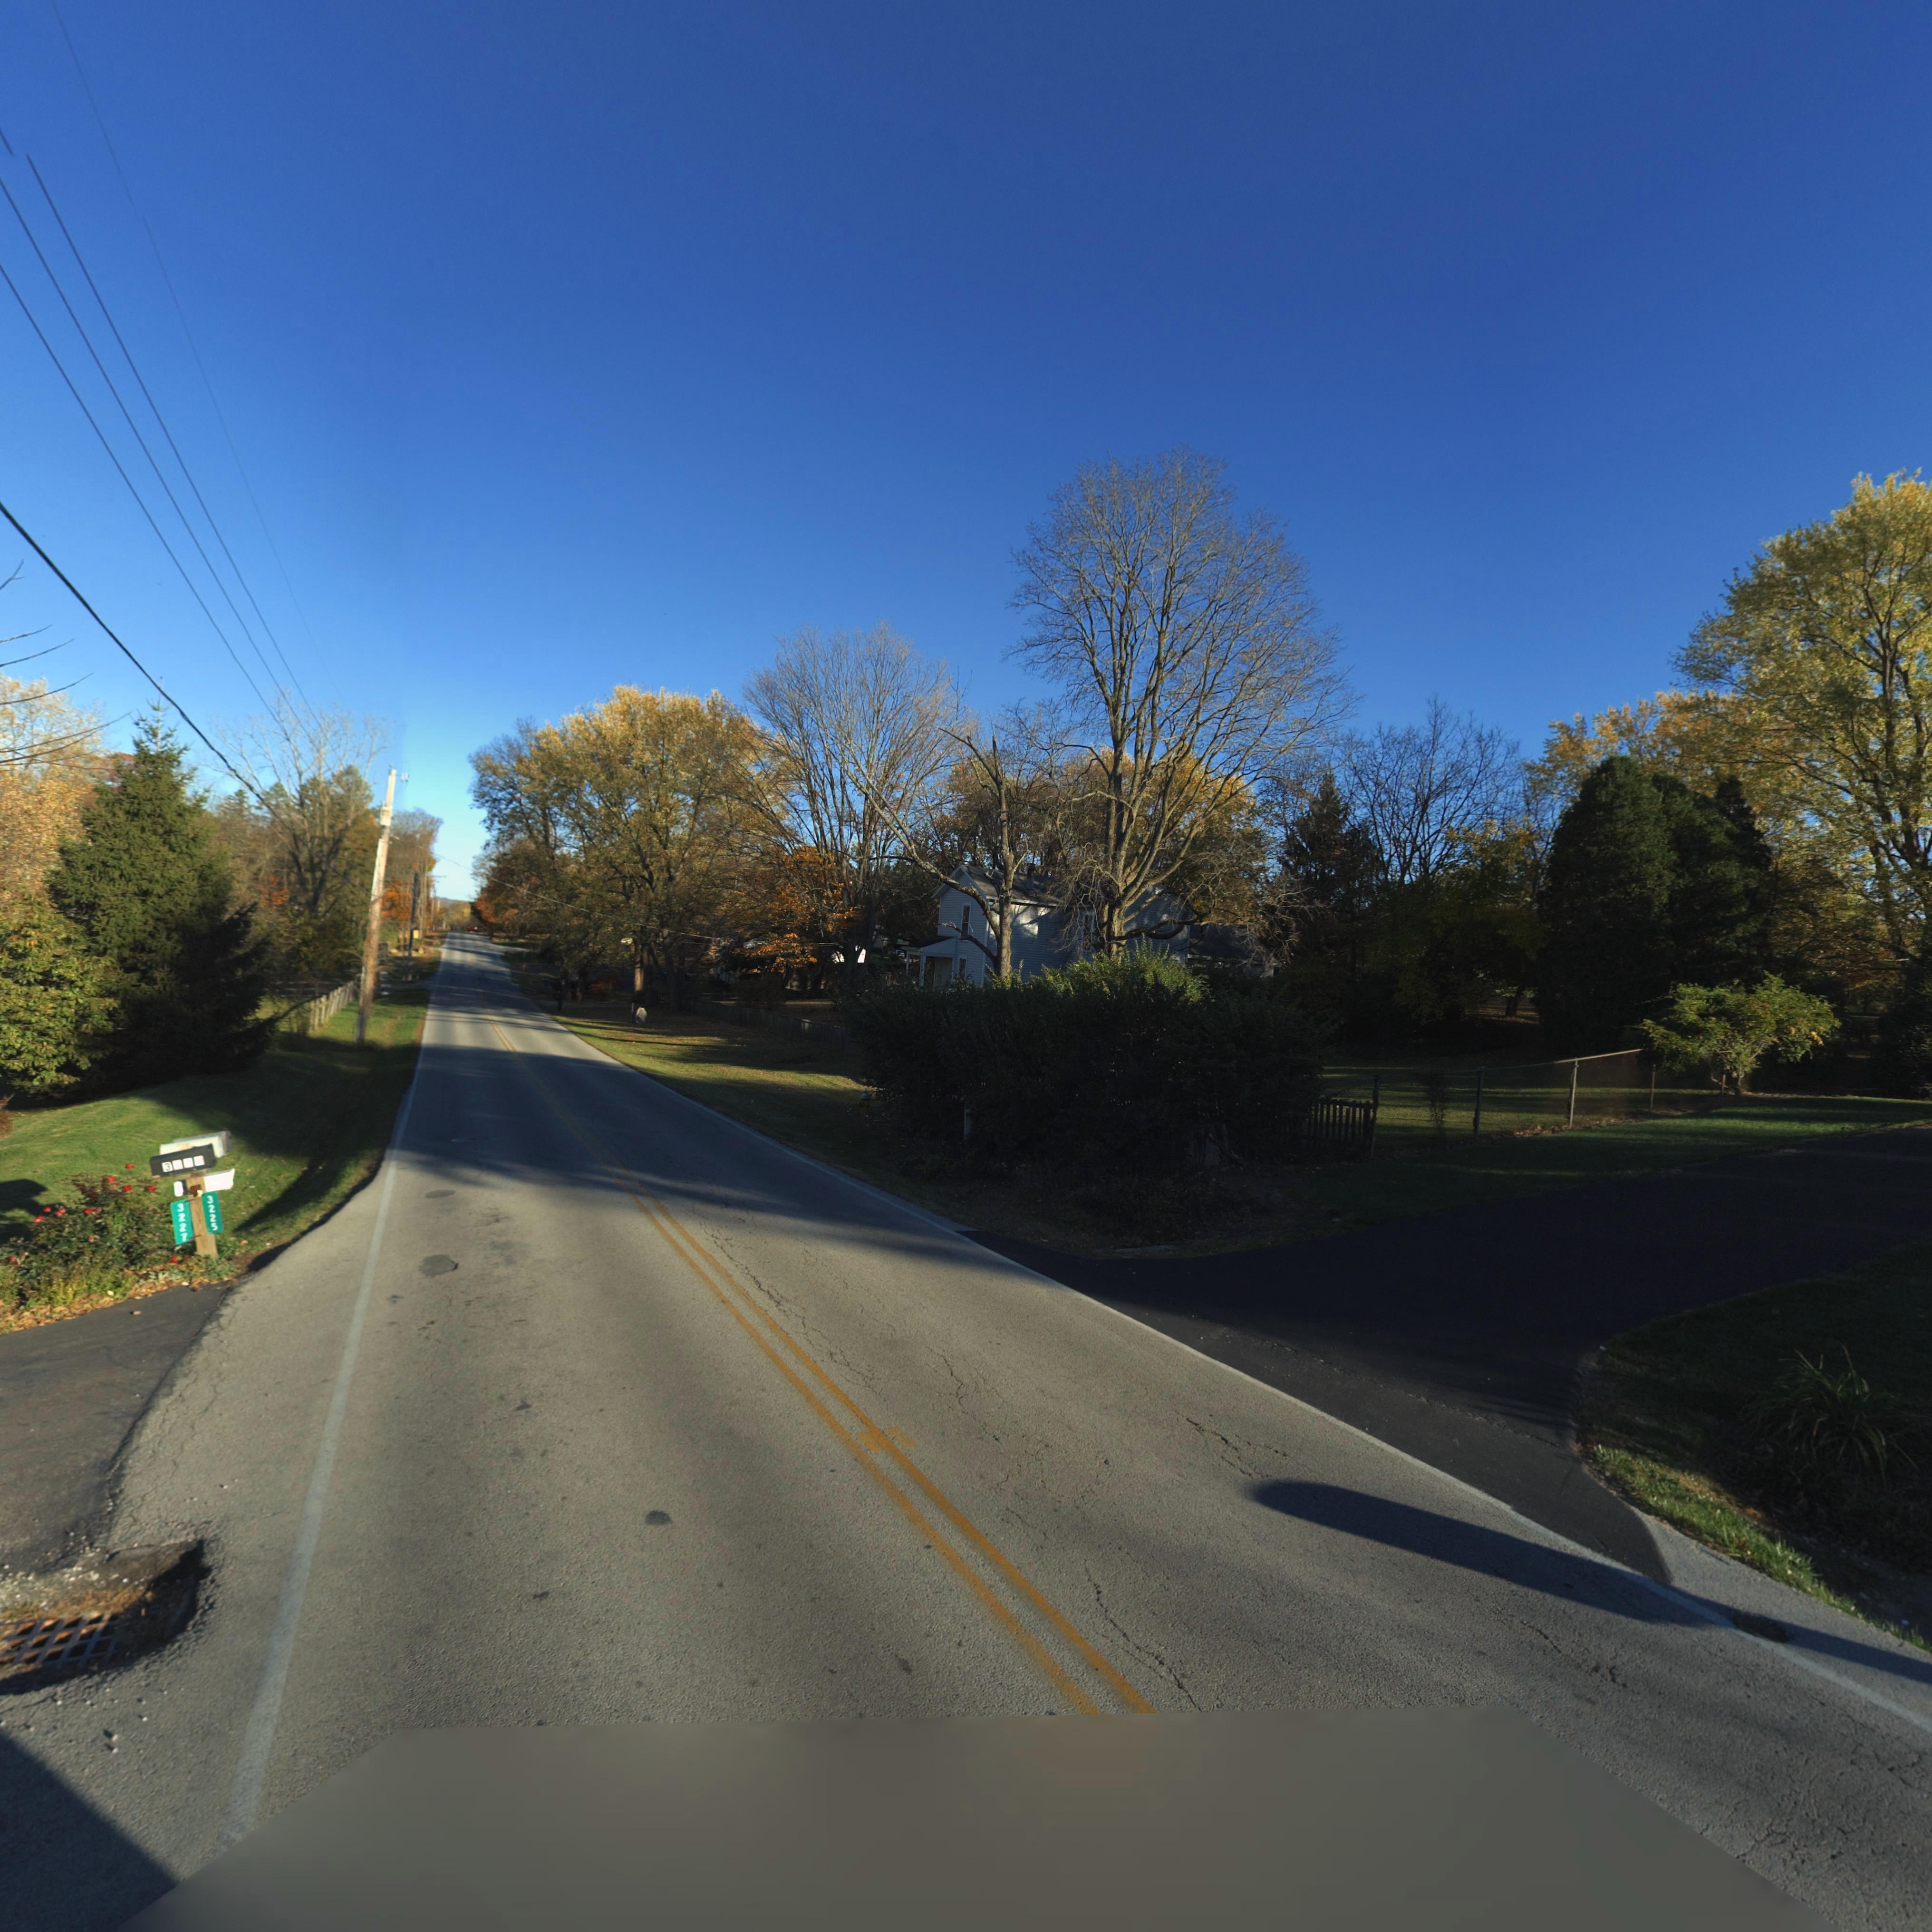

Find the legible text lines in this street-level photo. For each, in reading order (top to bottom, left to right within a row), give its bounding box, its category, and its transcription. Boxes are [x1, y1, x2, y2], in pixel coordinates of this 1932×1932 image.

[163, 1161, 173, 1173] StreetNumber: 3
[175, 1201, 189, 1243] StreetNumber: 3227
[204, 1193, 220, 1233] StreetNumber: 3225